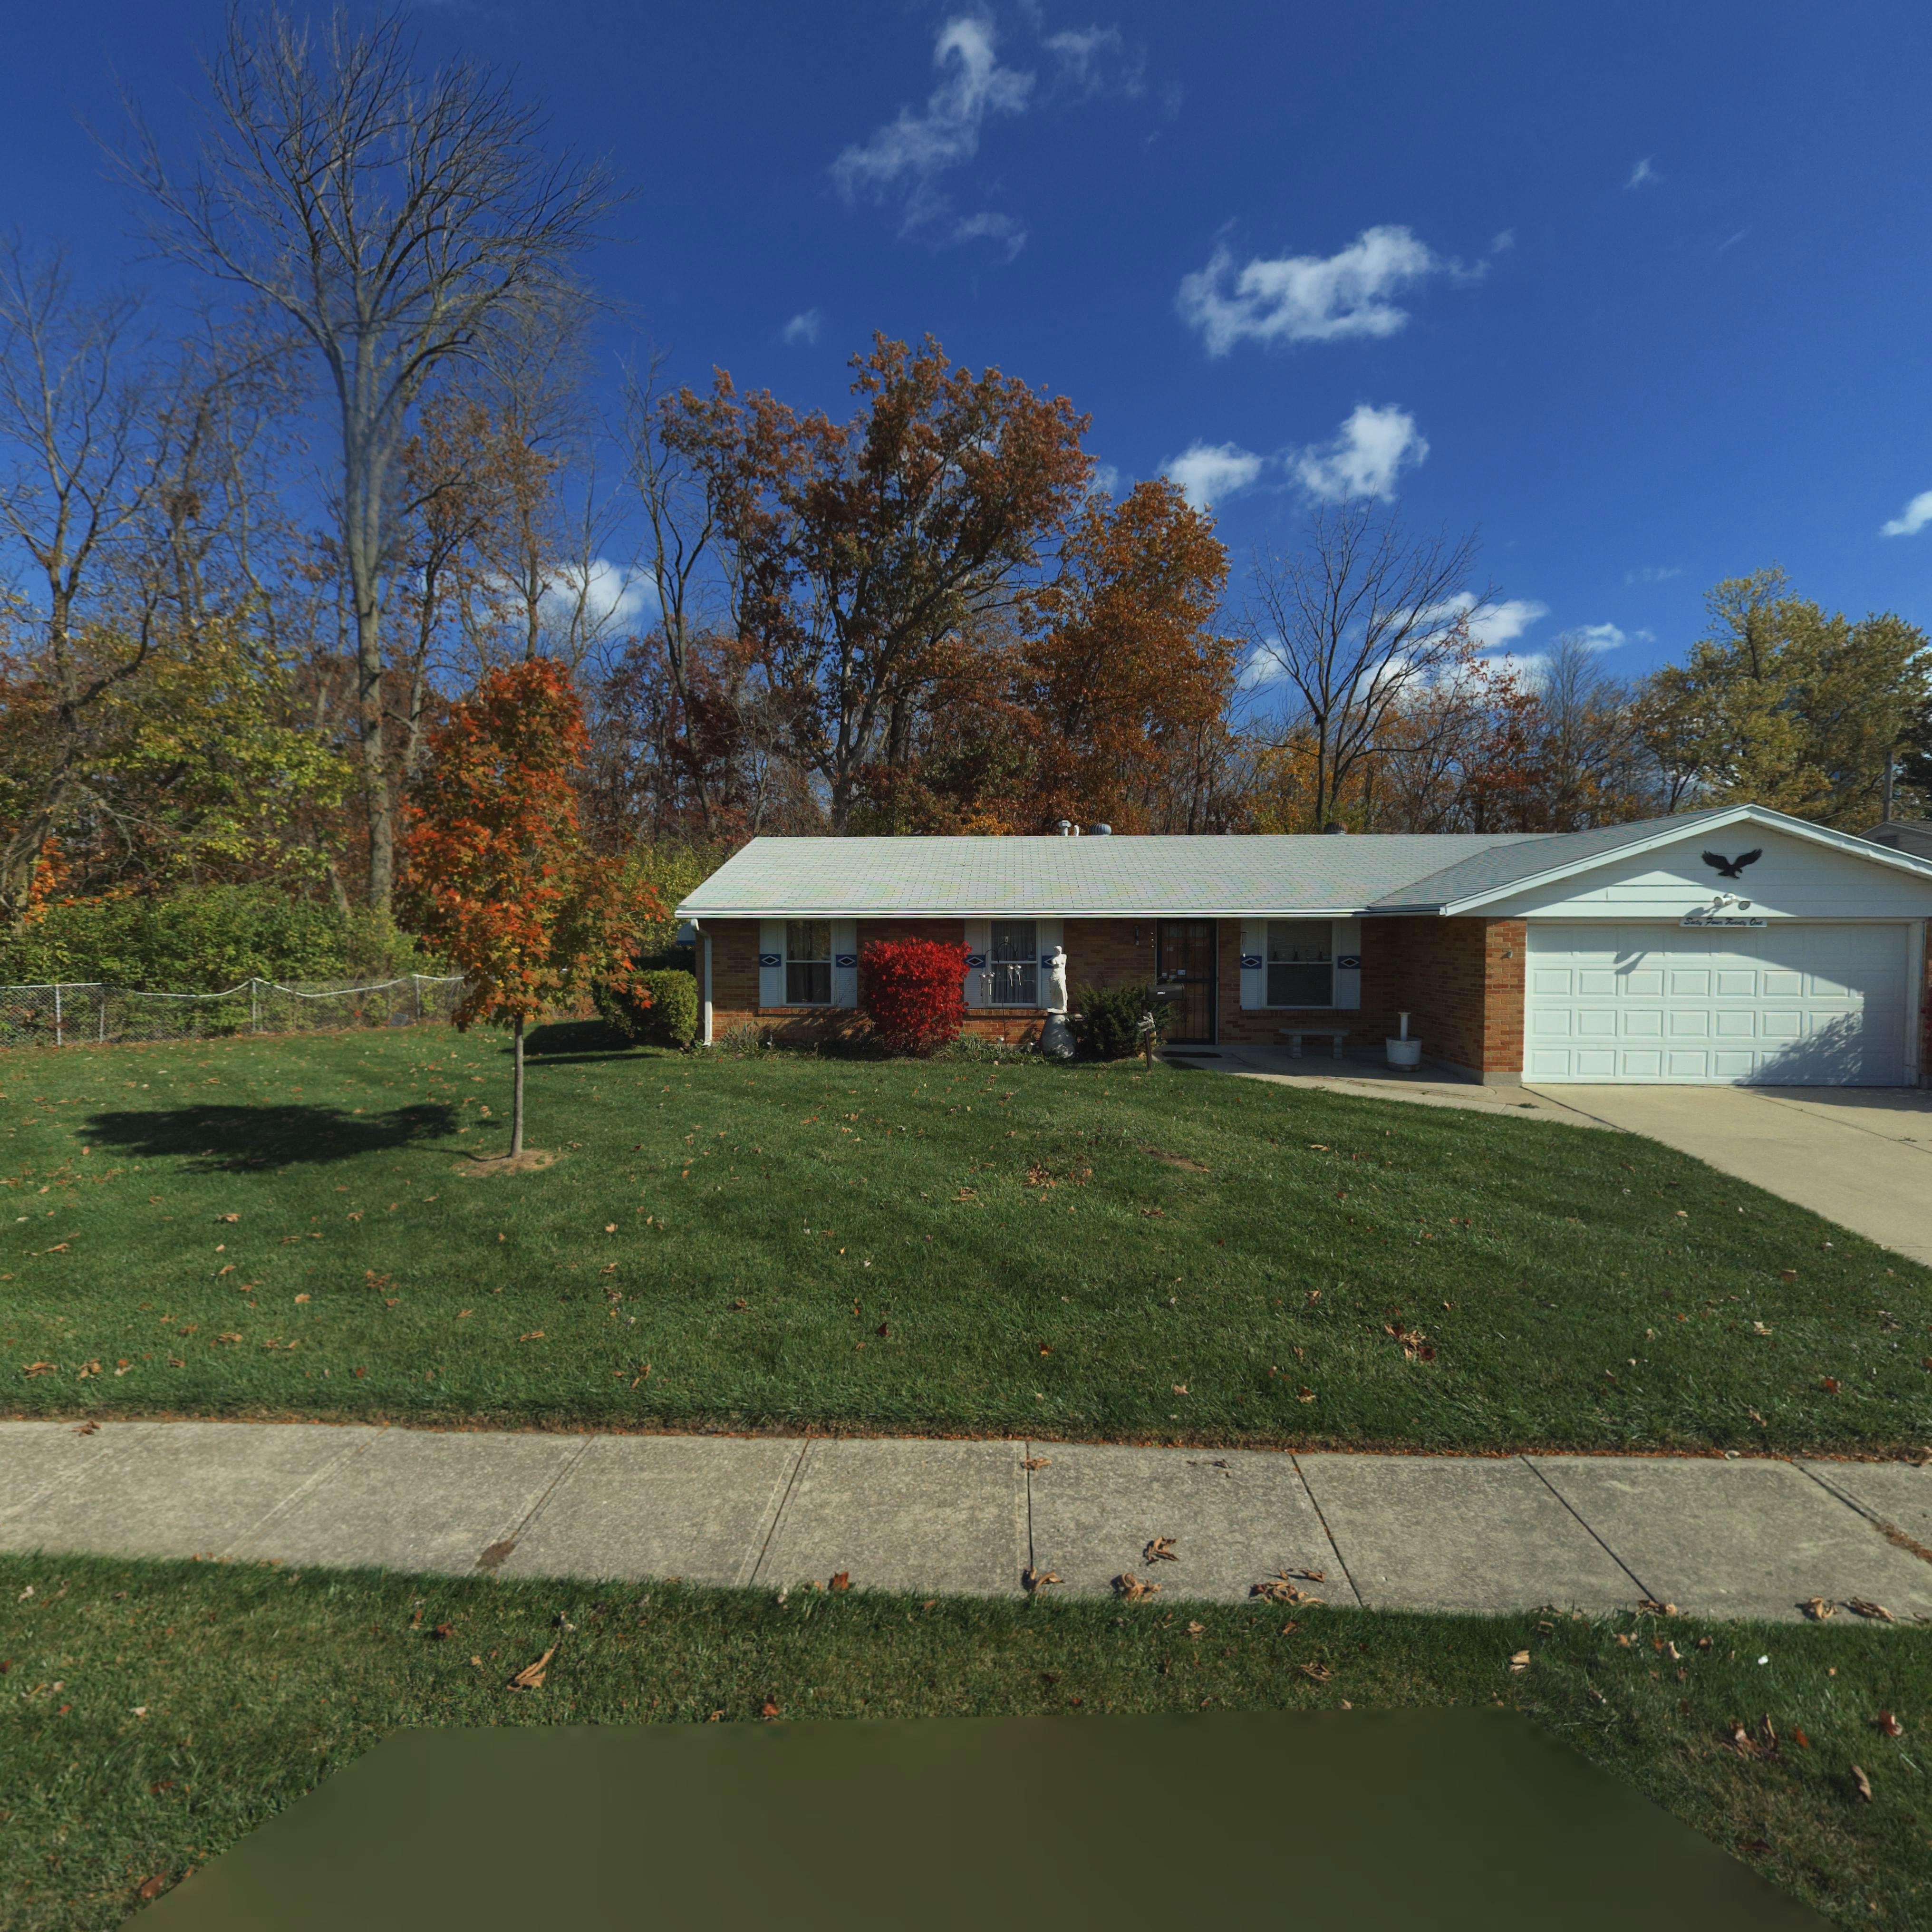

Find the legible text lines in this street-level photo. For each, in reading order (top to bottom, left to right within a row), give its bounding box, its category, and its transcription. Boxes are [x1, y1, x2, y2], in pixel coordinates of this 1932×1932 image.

[1683, 917, 1764, 926] StreetNumber: Sixty Four Twenty One
[1140, 1023, 1150, 1030] StreetNumber: 6*21